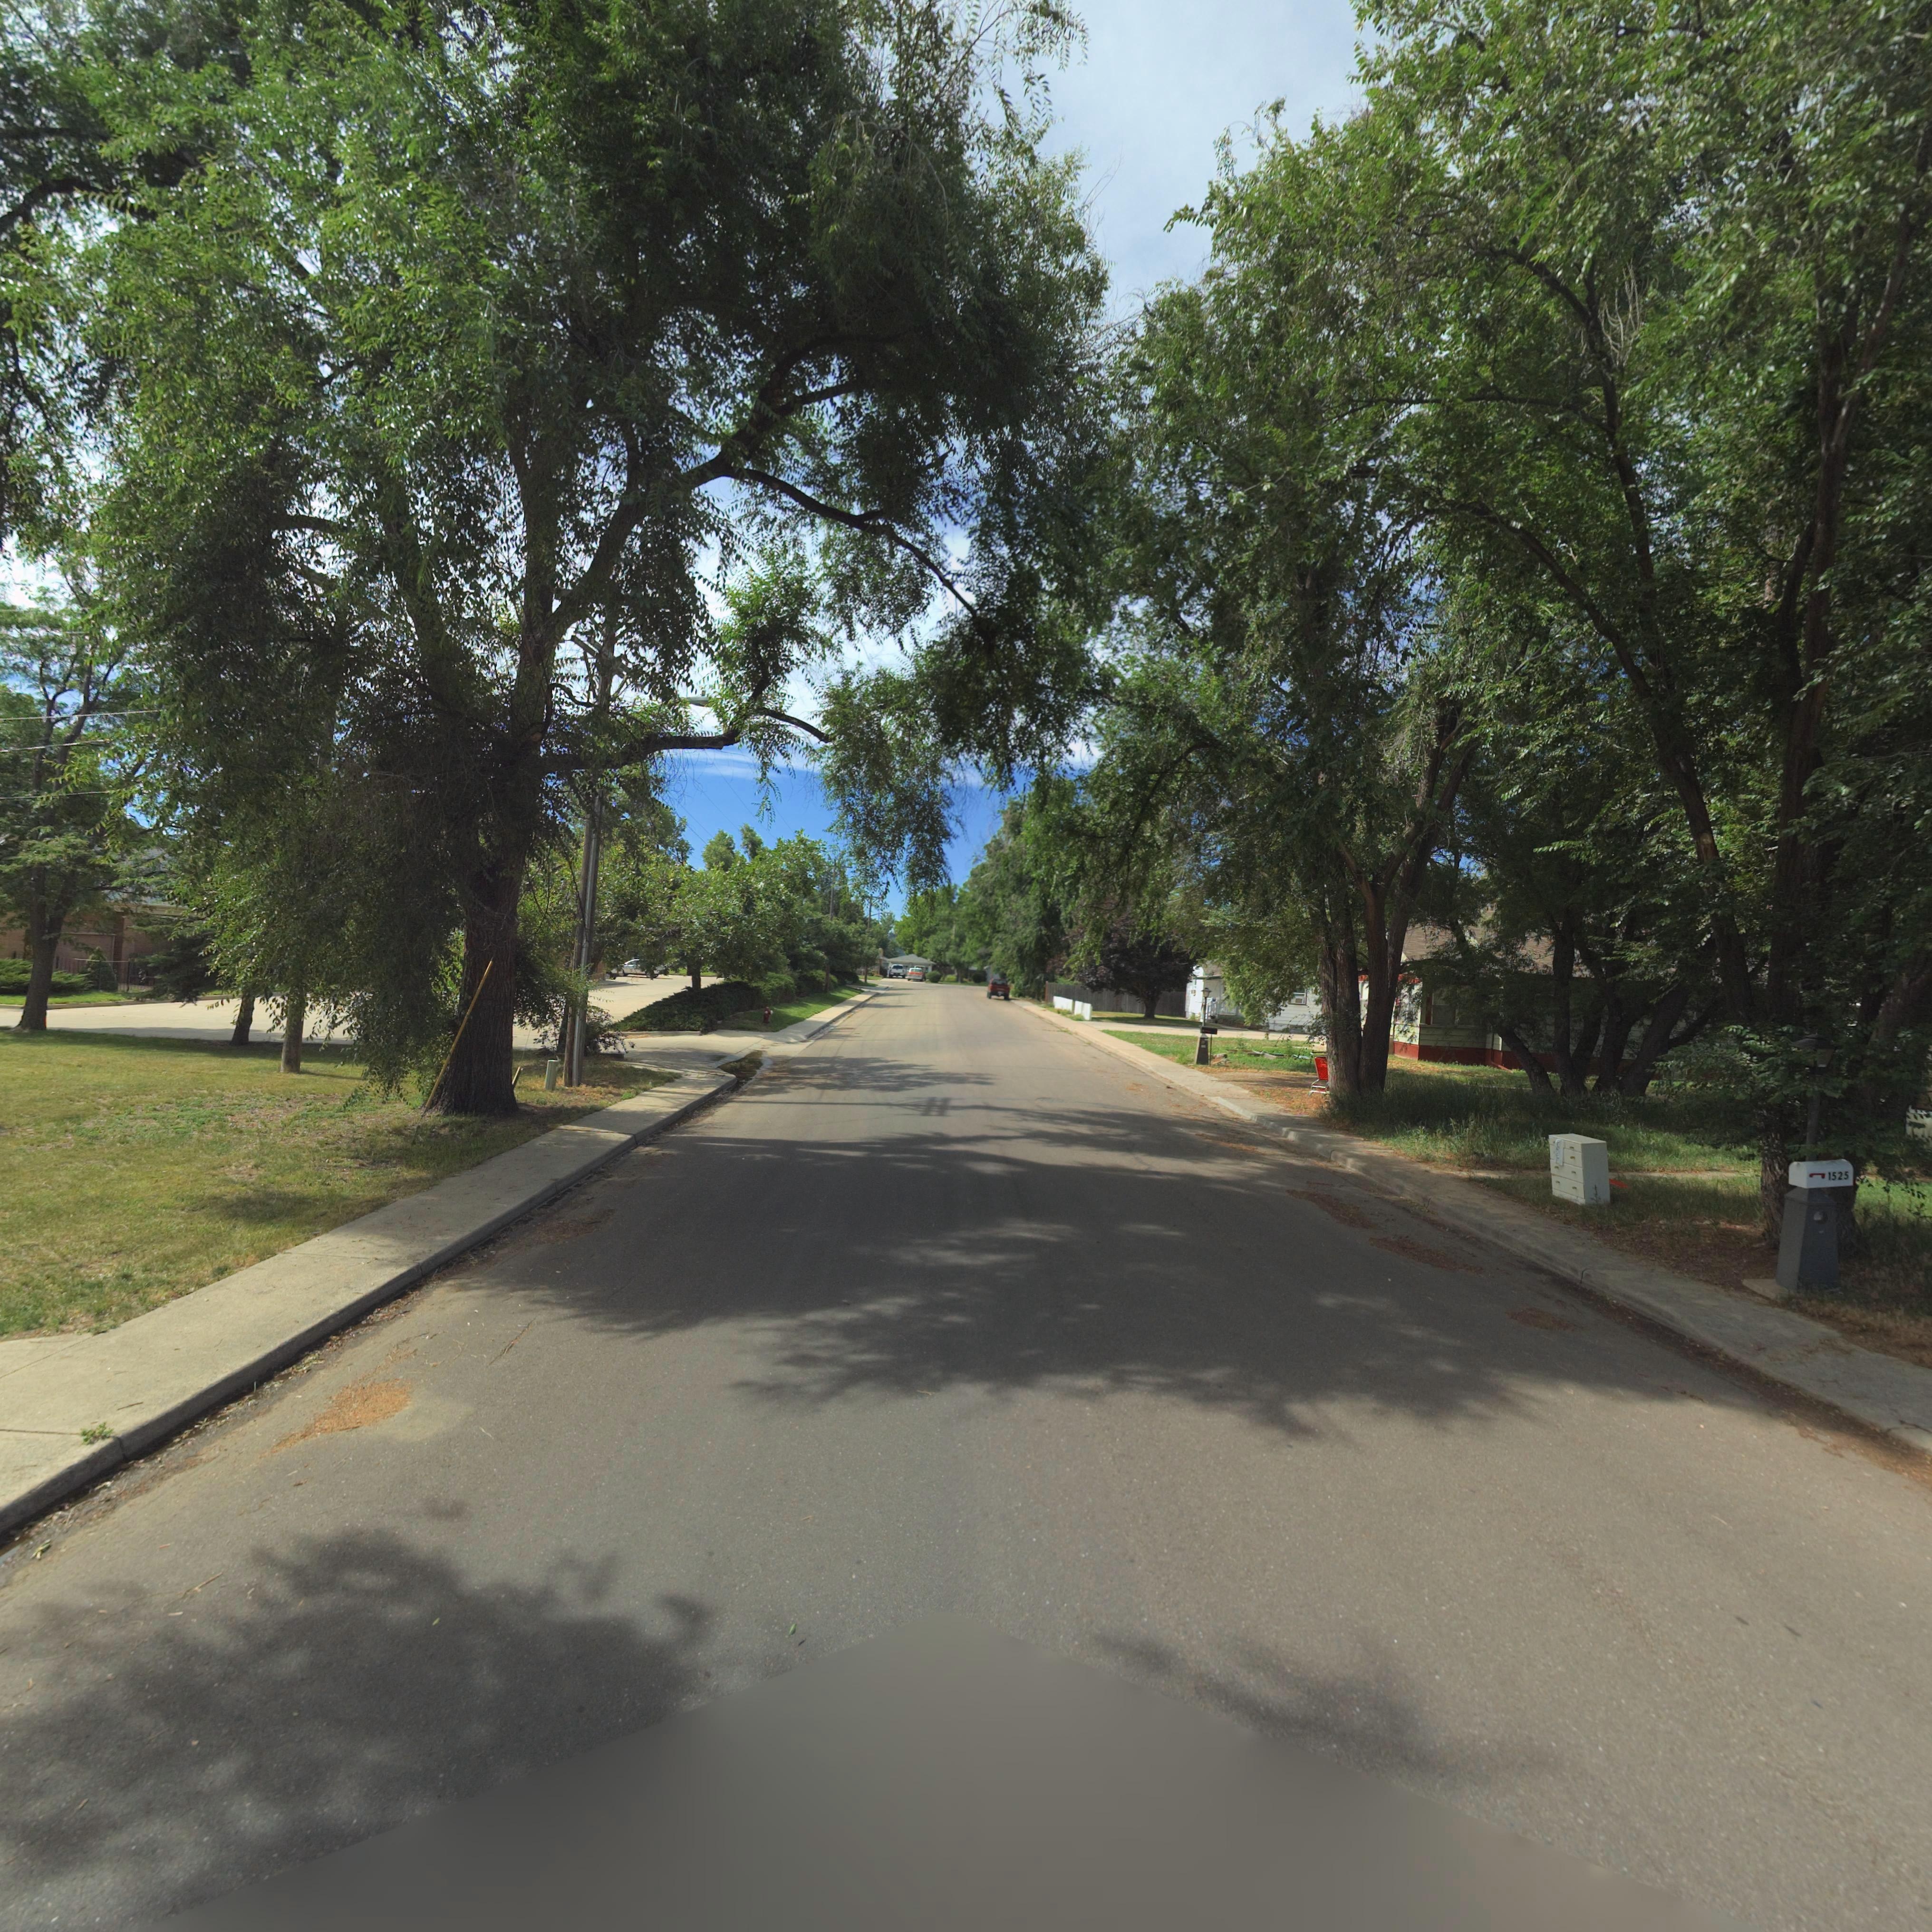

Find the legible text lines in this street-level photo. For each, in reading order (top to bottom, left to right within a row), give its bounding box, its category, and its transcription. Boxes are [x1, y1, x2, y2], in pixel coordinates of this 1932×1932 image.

[1827, 1171, 1849, 1180] StreetNumber: 1525